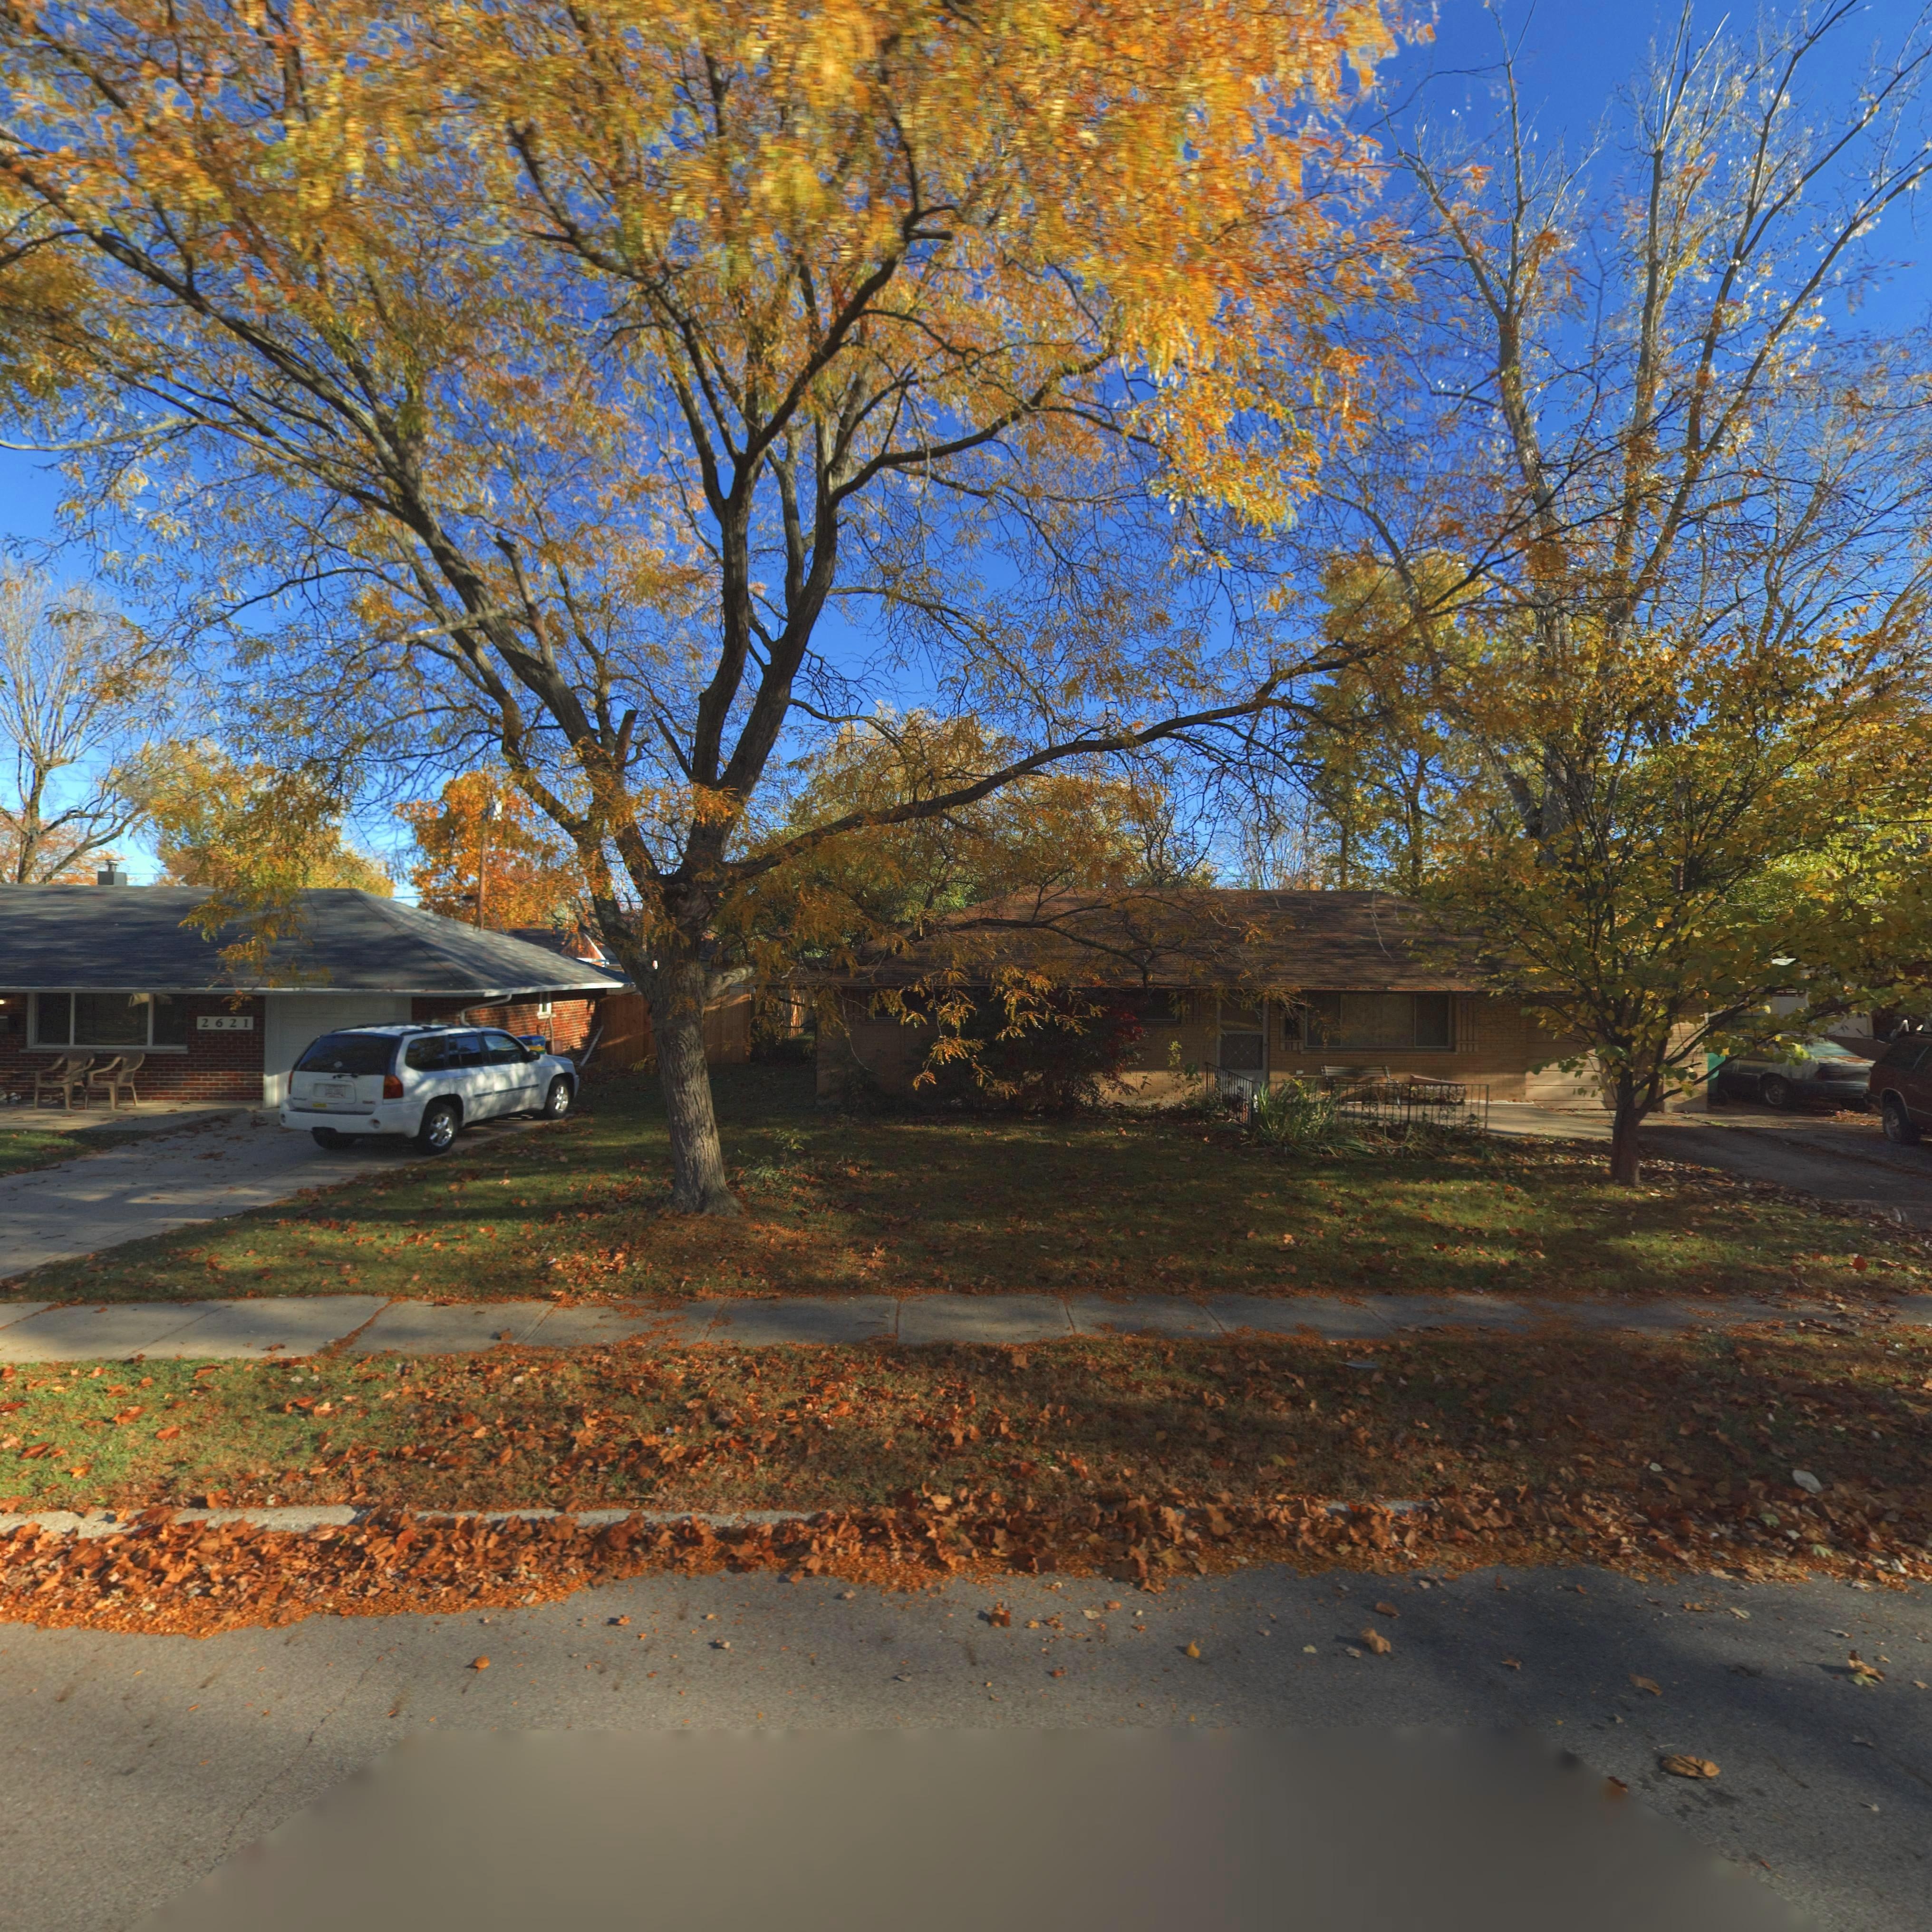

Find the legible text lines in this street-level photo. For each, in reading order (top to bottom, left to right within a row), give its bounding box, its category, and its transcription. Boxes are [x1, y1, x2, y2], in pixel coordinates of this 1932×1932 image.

[200, 1017, 249, 1029] StreetNumber: 2621